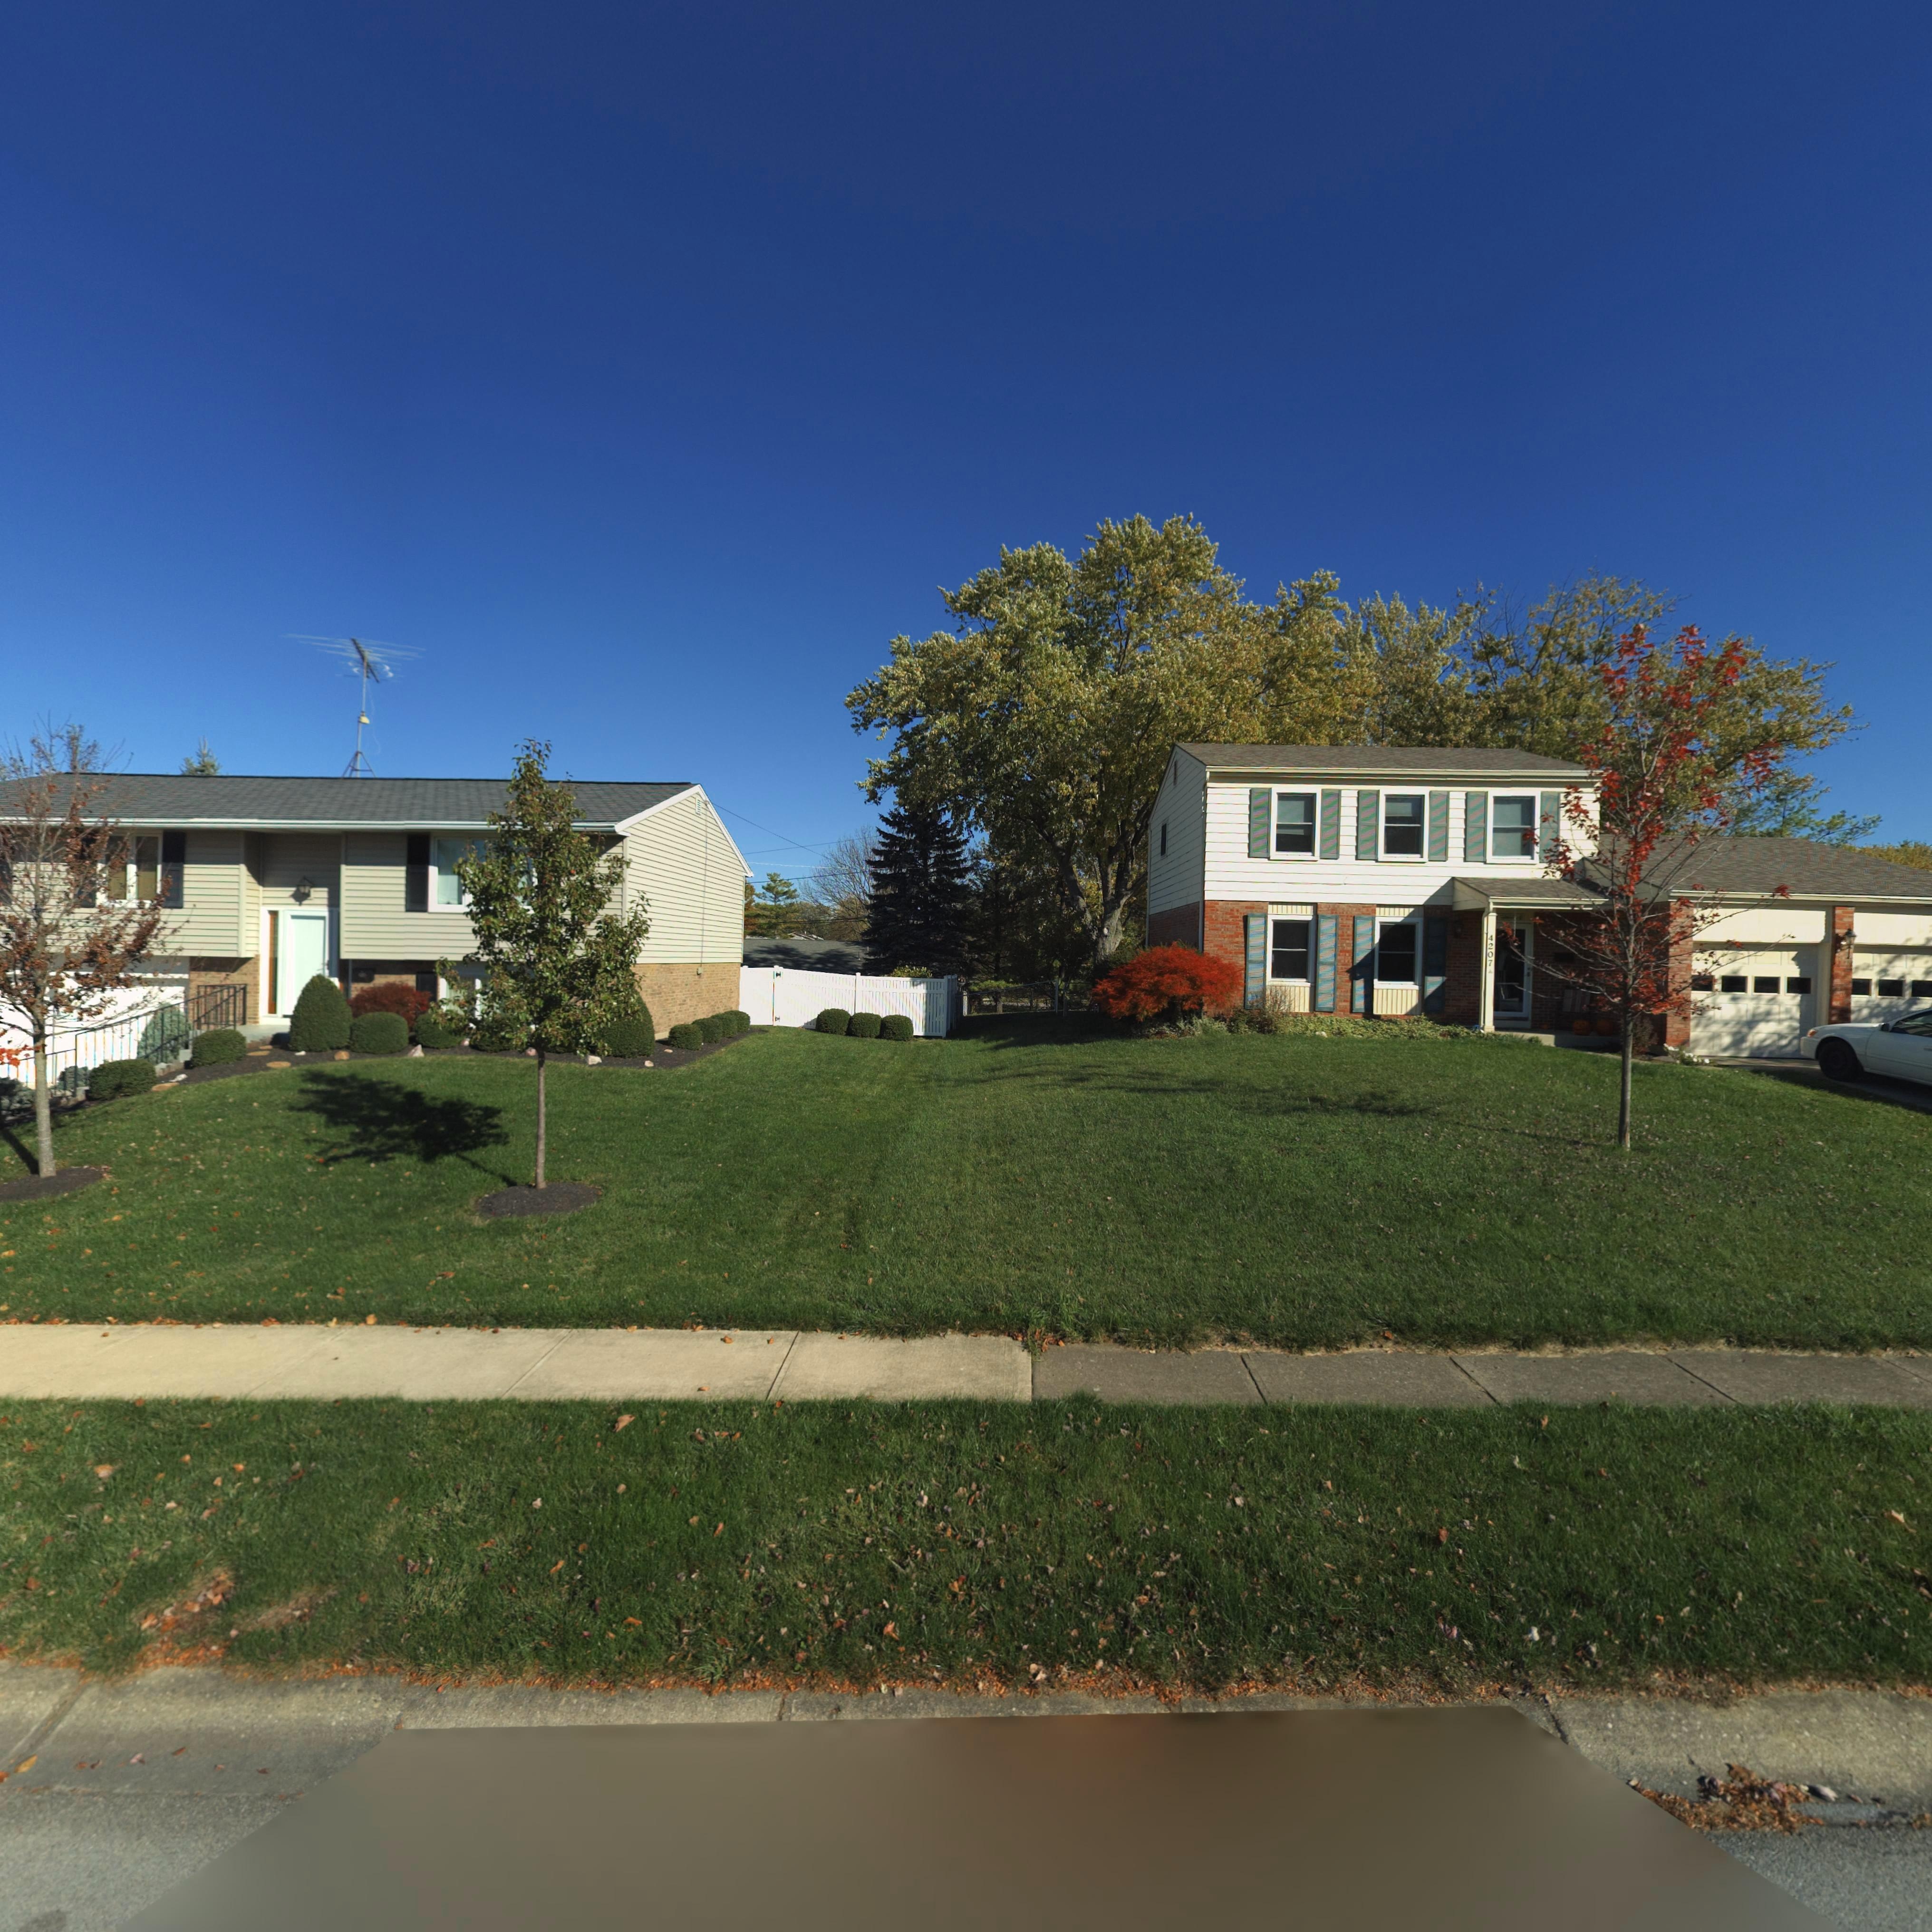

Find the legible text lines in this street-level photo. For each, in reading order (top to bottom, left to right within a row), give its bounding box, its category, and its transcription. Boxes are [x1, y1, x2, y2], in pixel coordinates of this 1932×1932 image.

[1487, 934, 1494, 968] StreetNumber: 4207